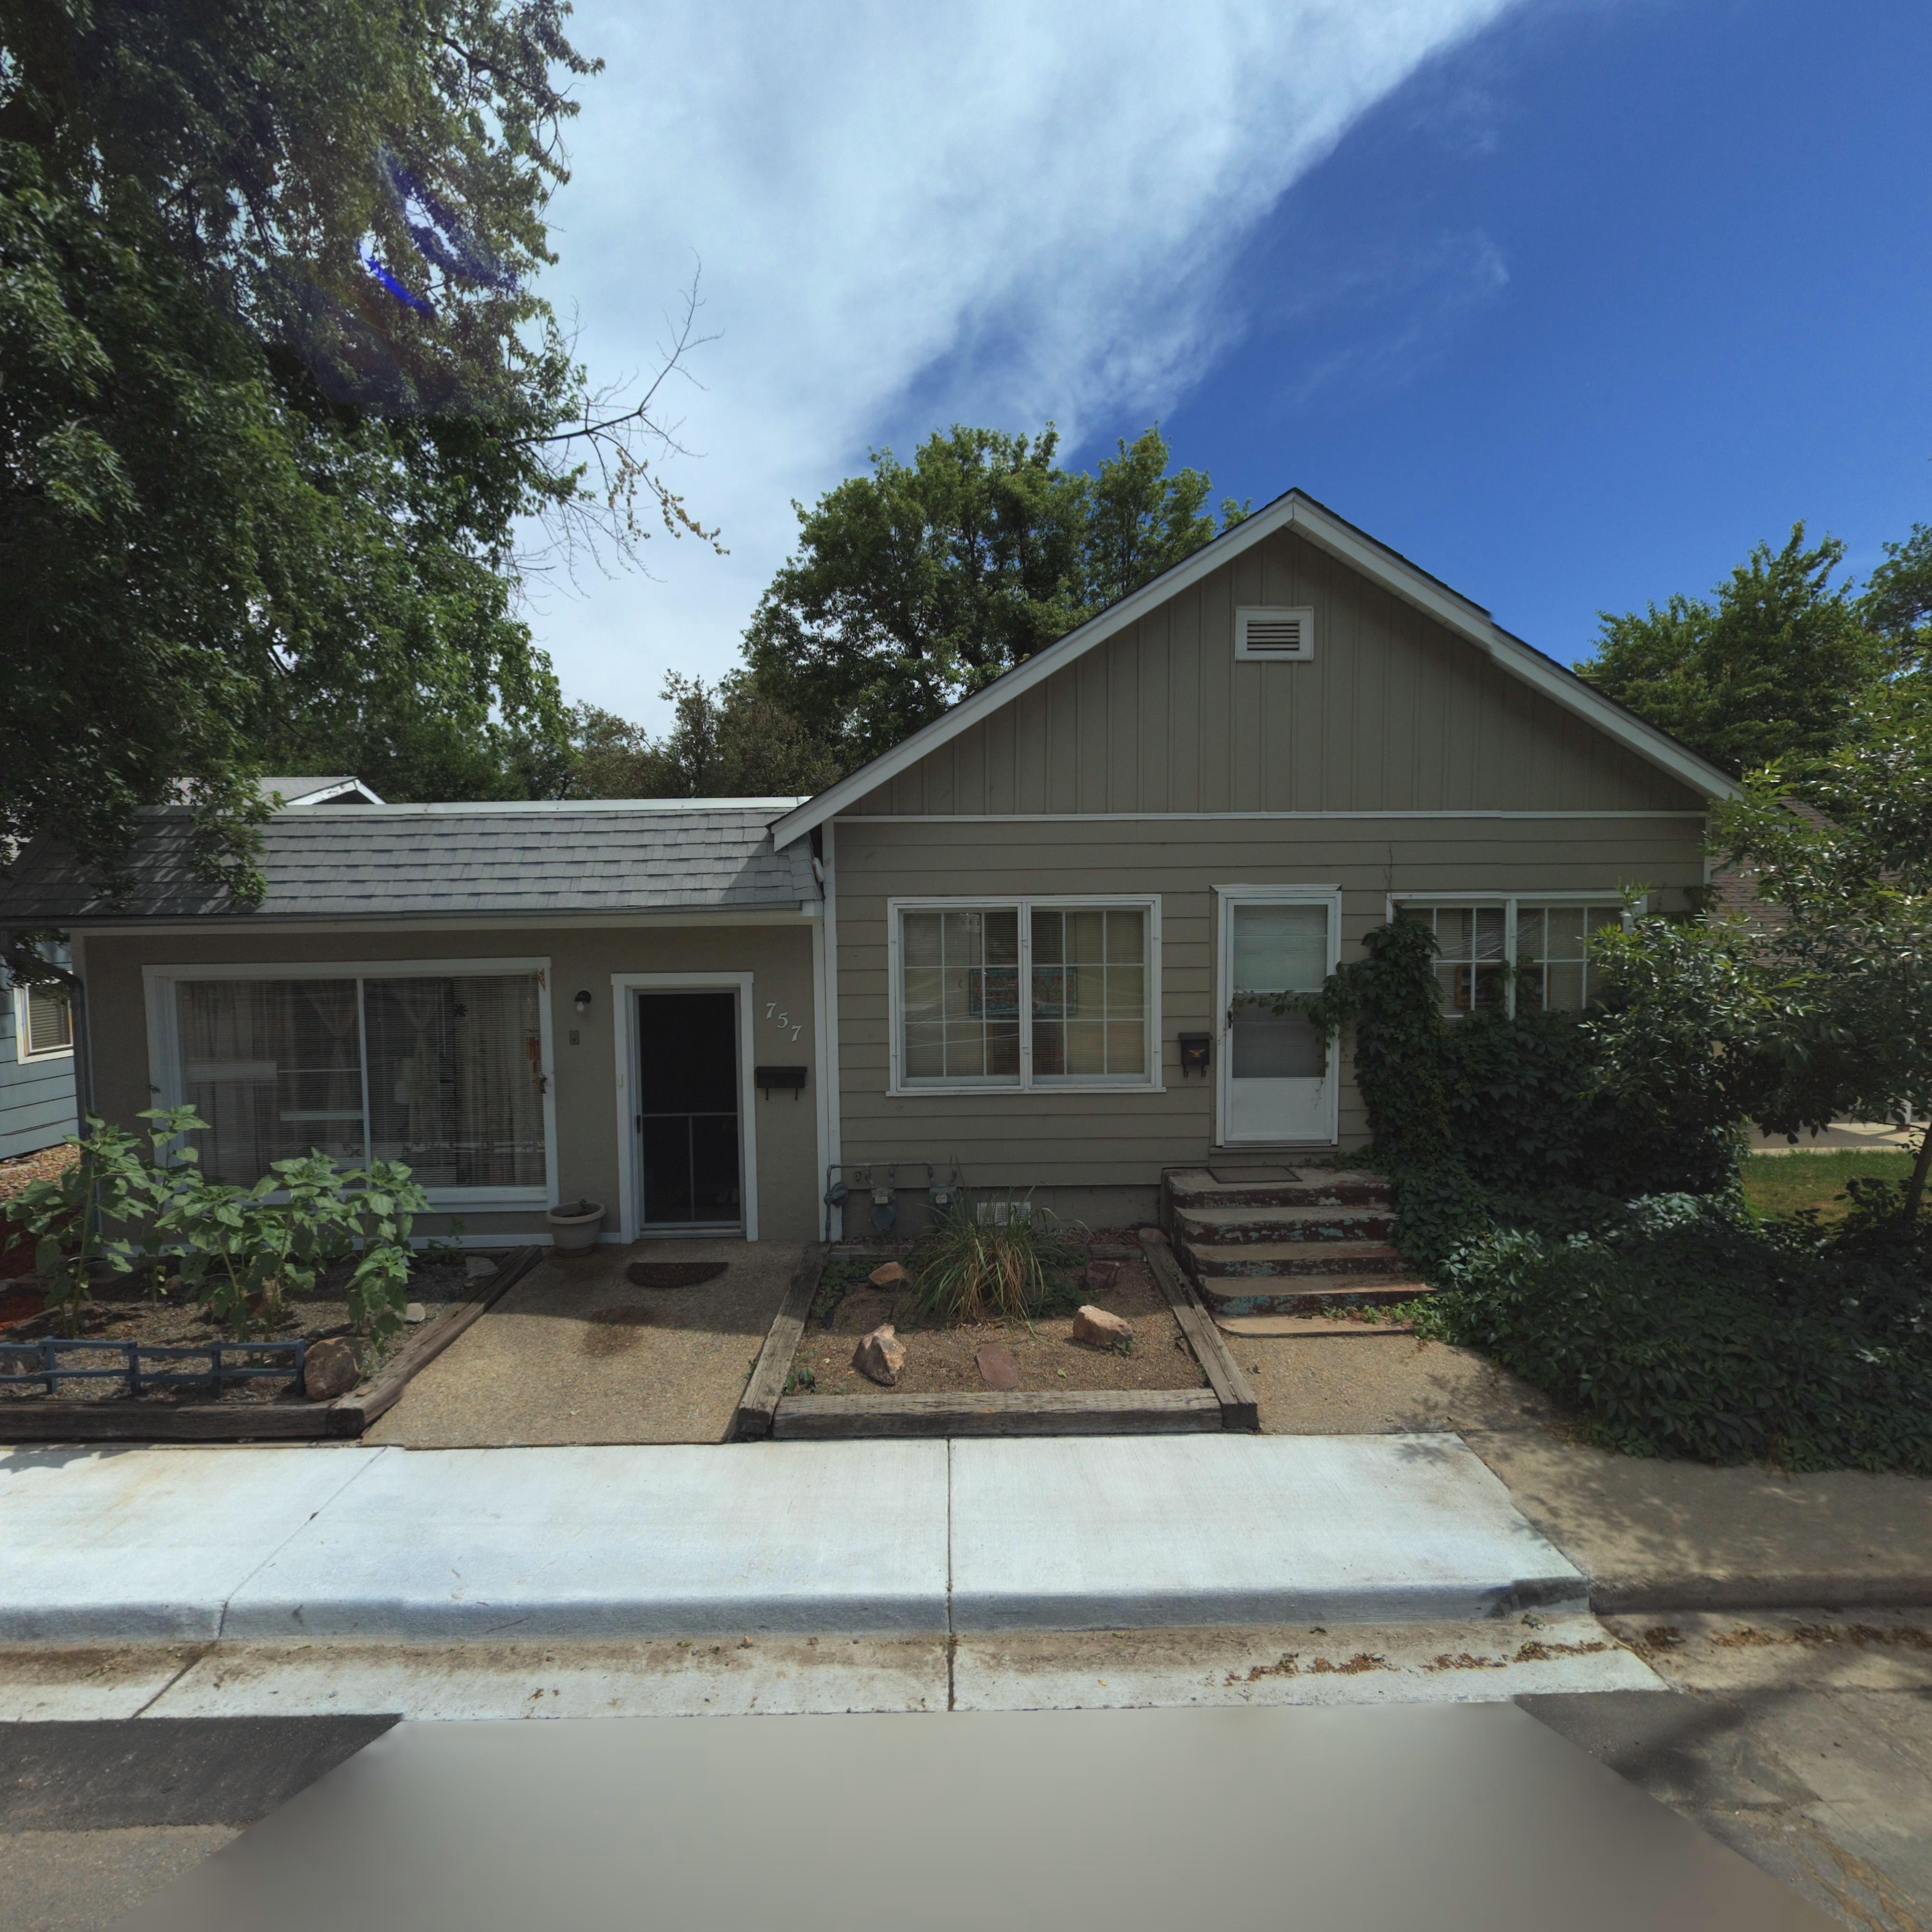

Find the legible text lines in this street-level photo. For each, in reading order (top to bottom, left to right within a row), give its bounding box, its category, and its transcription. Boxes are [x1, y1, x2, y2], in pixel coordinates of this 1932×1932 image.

[763, 1002, 802, 1042] None: 757